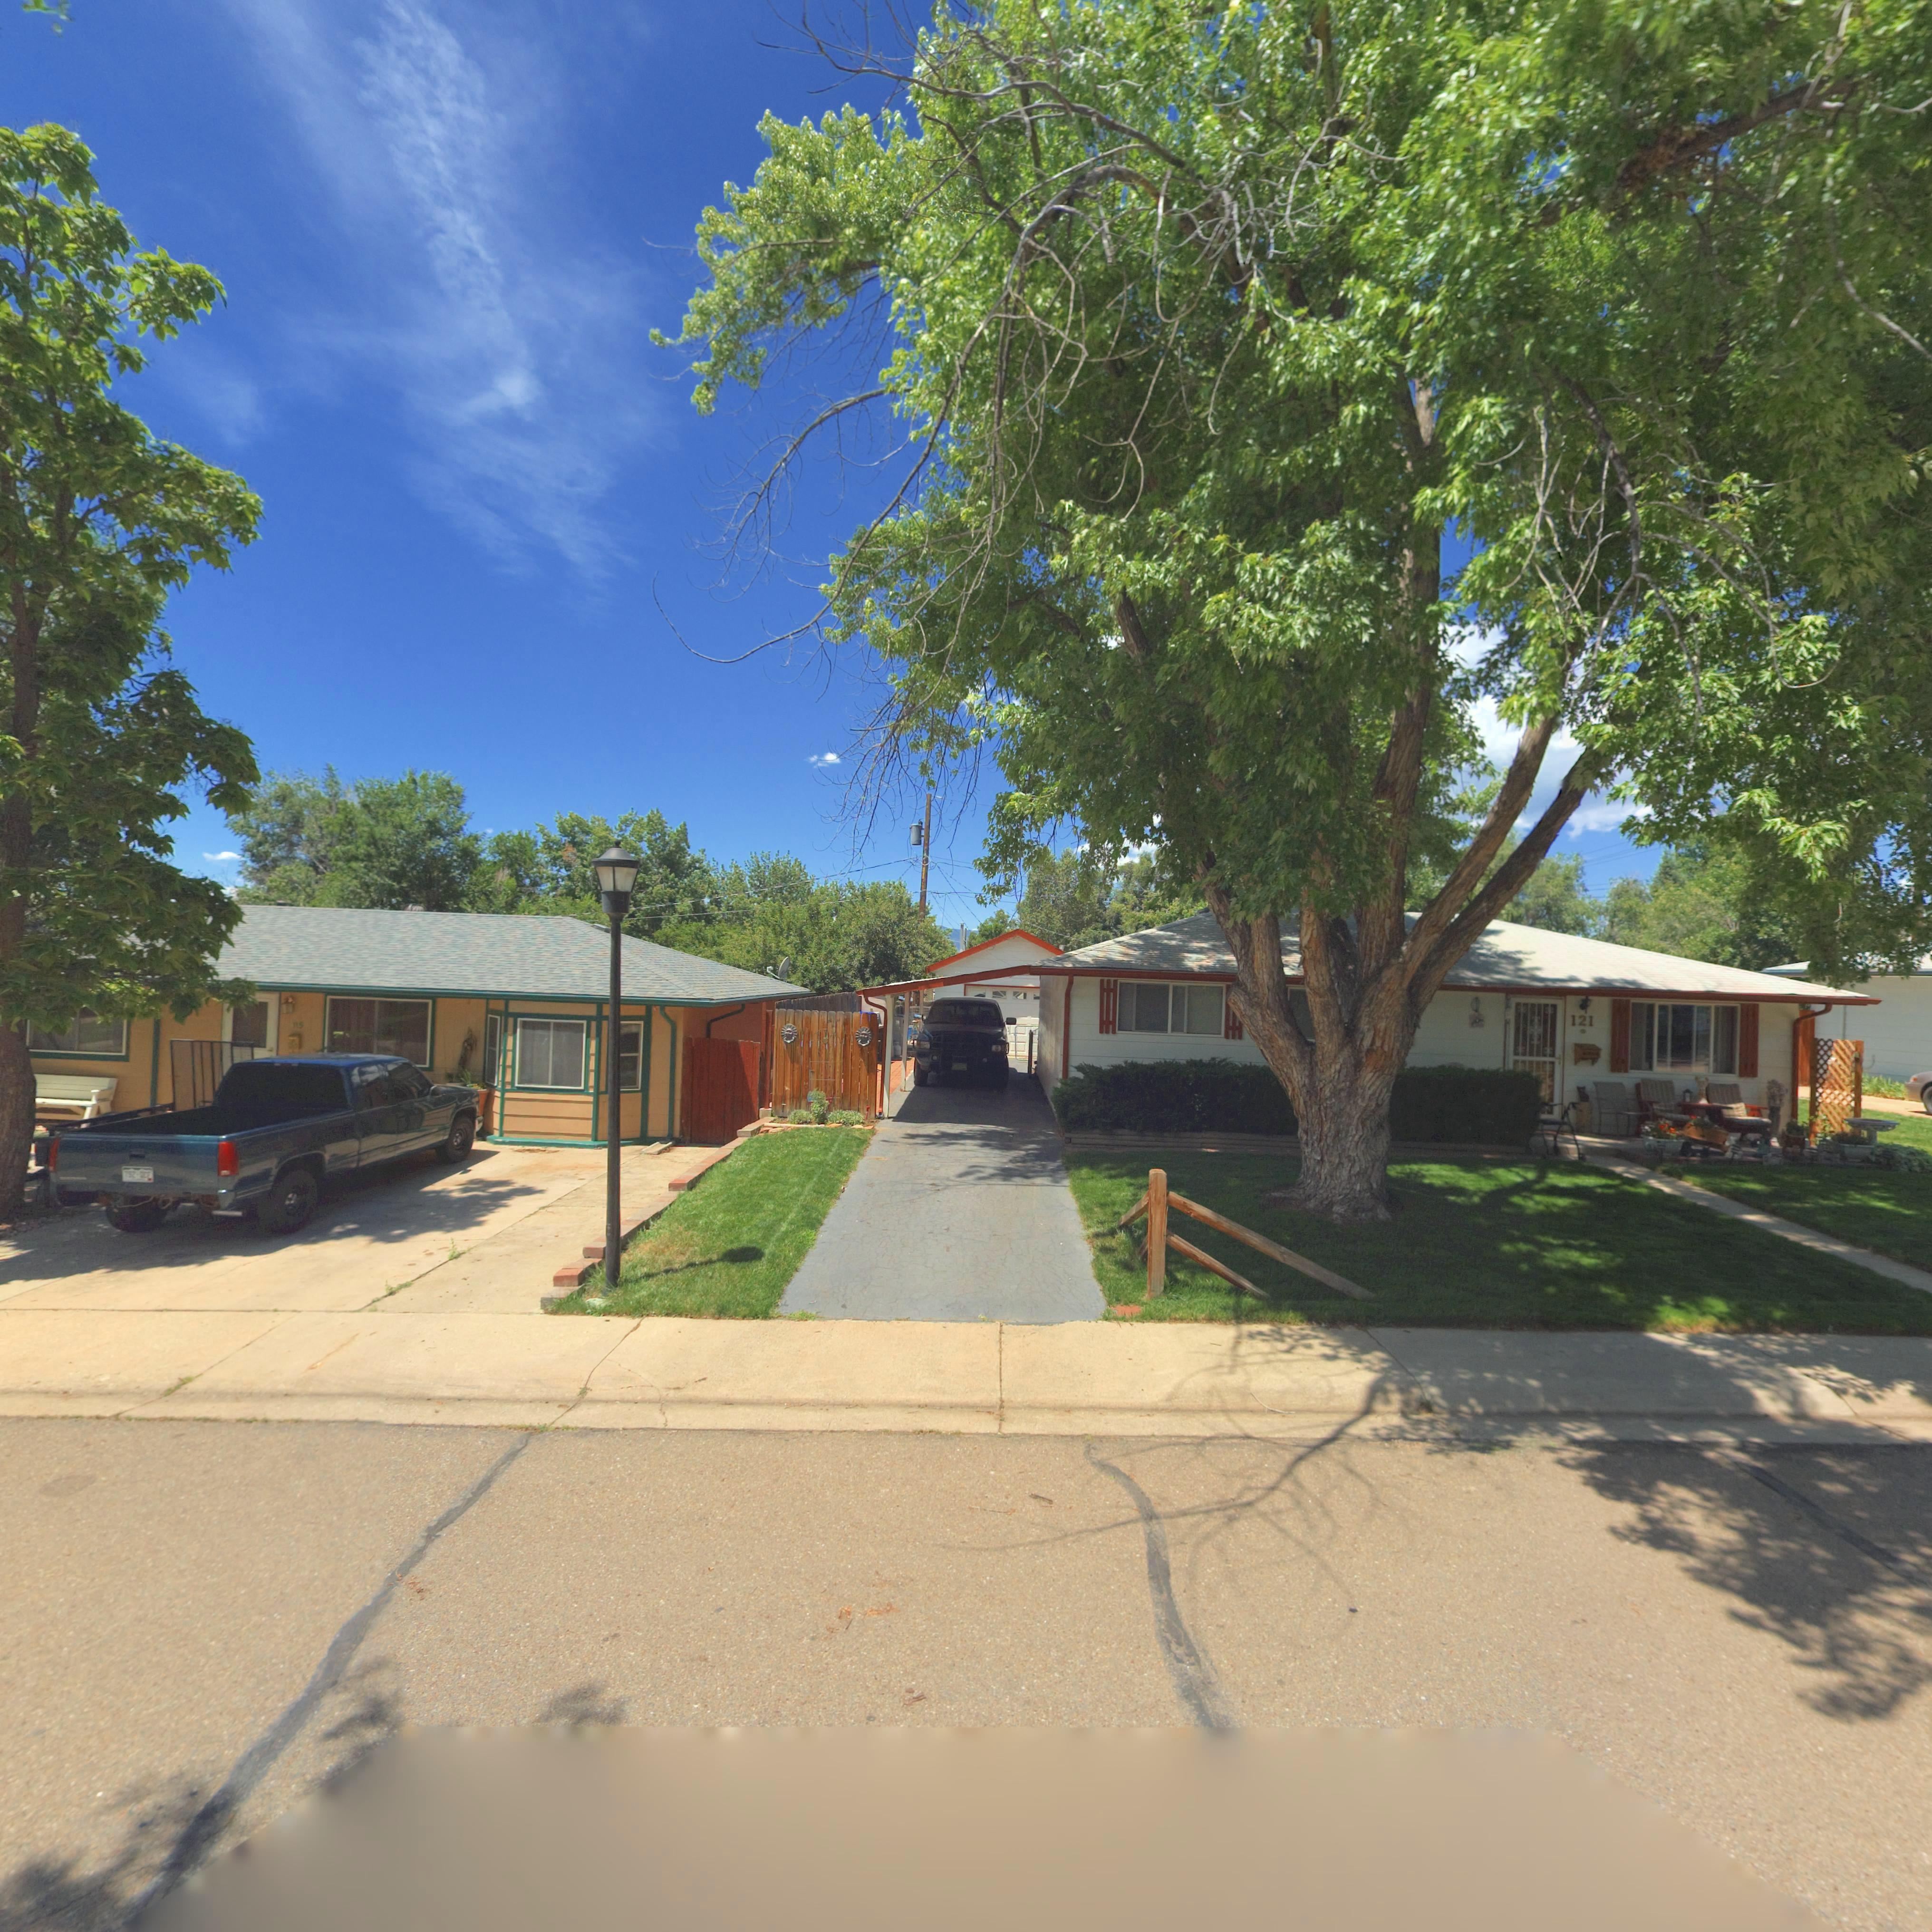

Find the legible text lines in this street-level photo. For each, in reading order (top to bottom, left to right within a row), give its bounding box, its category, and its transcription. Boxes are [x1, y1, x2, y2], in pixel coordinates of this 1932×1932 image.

[292, 1022, 303, 1028] StreetNumber: 115
[1570, 1014, 1594, 1027] StreetNumber: 121